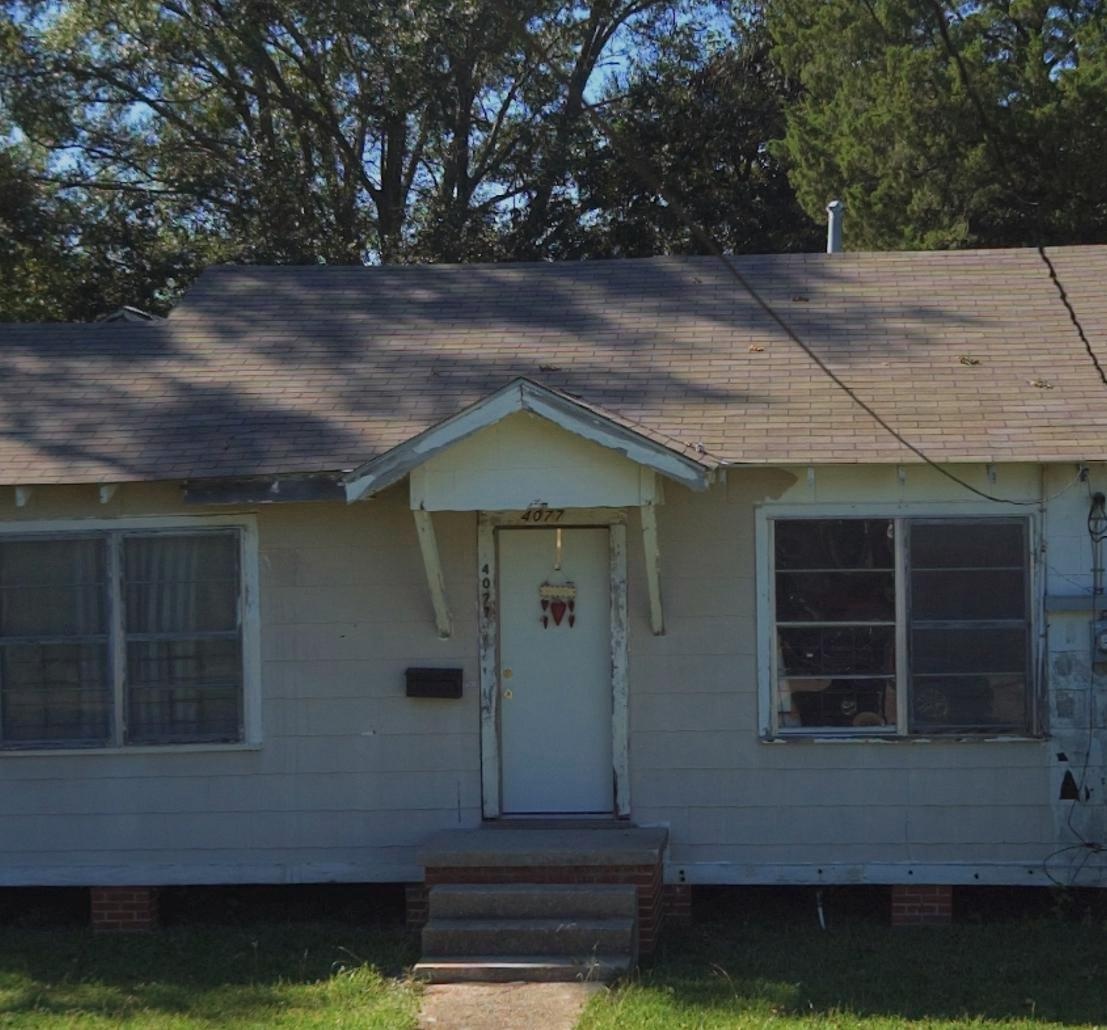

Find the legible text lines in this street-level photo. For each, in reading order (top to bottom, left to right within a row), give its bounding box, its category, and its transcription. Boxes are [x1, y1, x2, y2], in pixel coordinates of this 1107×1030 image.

[520, 508, 566, 523] StreetNumber: 4077
[481, 561, 491, 619] StreetNumber: 4077